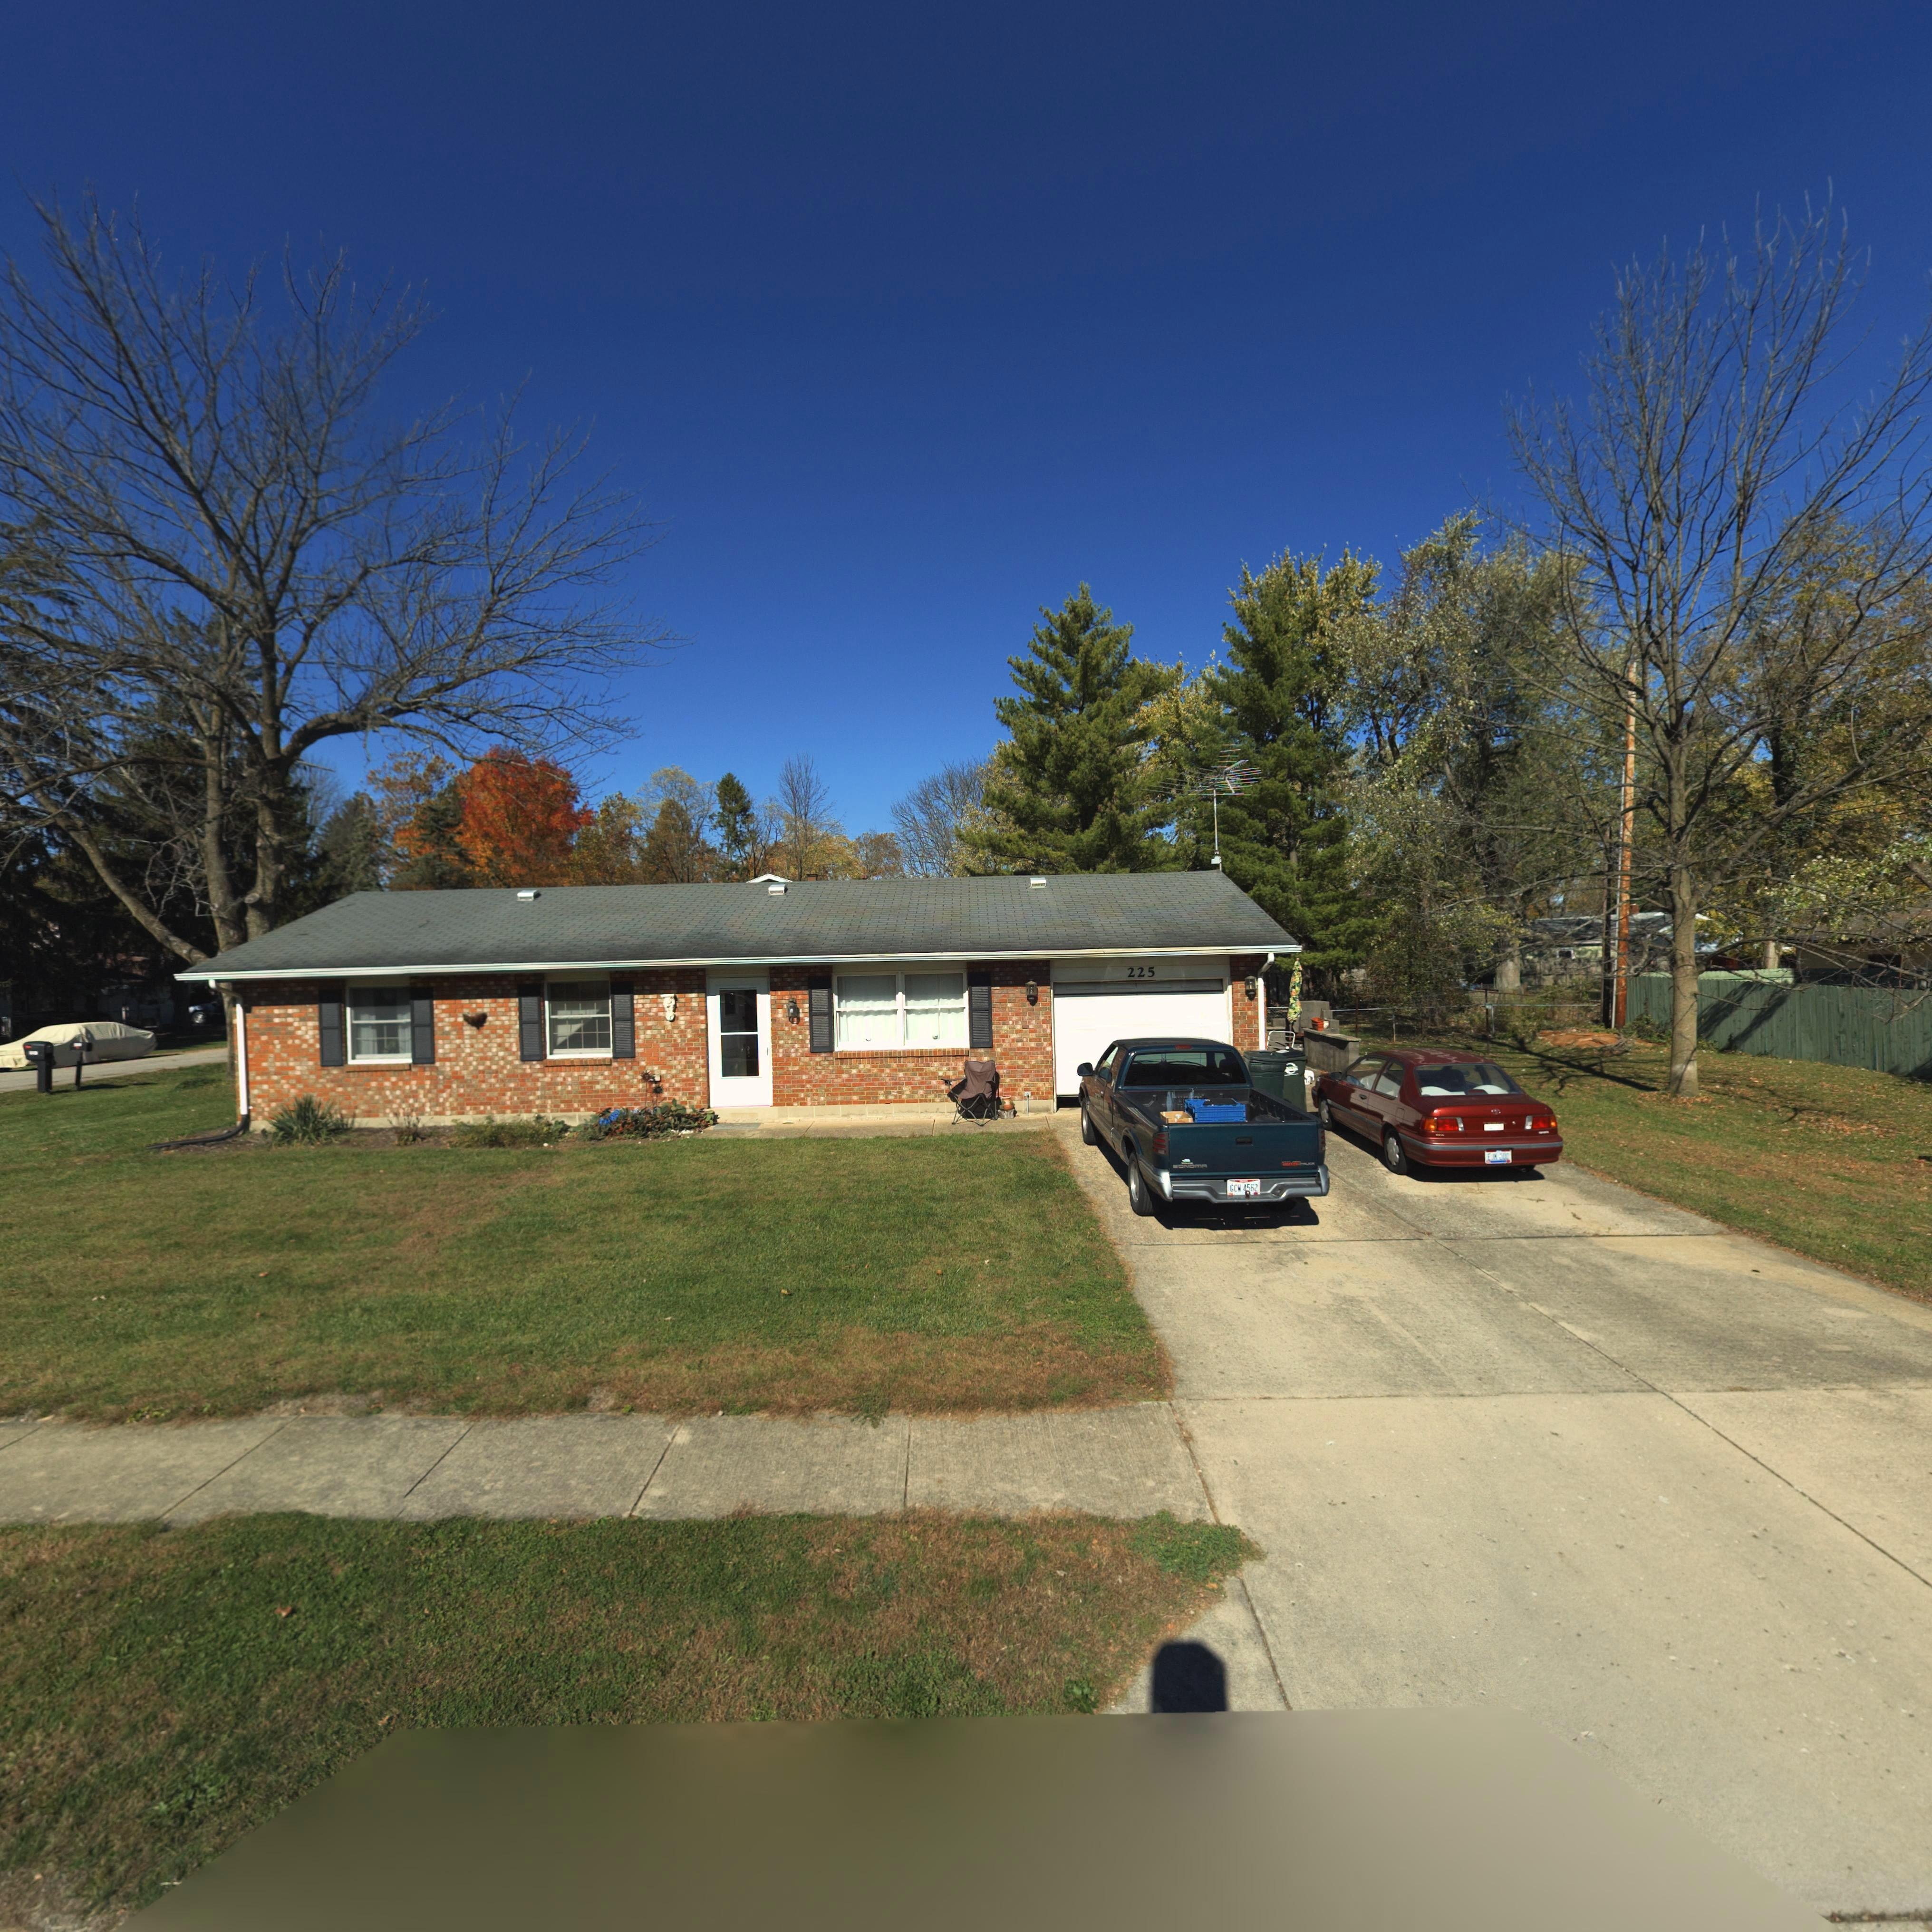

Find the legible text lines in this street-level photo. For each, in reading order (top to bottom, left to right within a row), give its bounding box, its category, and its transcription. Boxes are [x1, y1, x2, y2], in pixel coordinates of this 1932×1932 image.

[1127, 966, 1155, 978] StreetNumber: 225